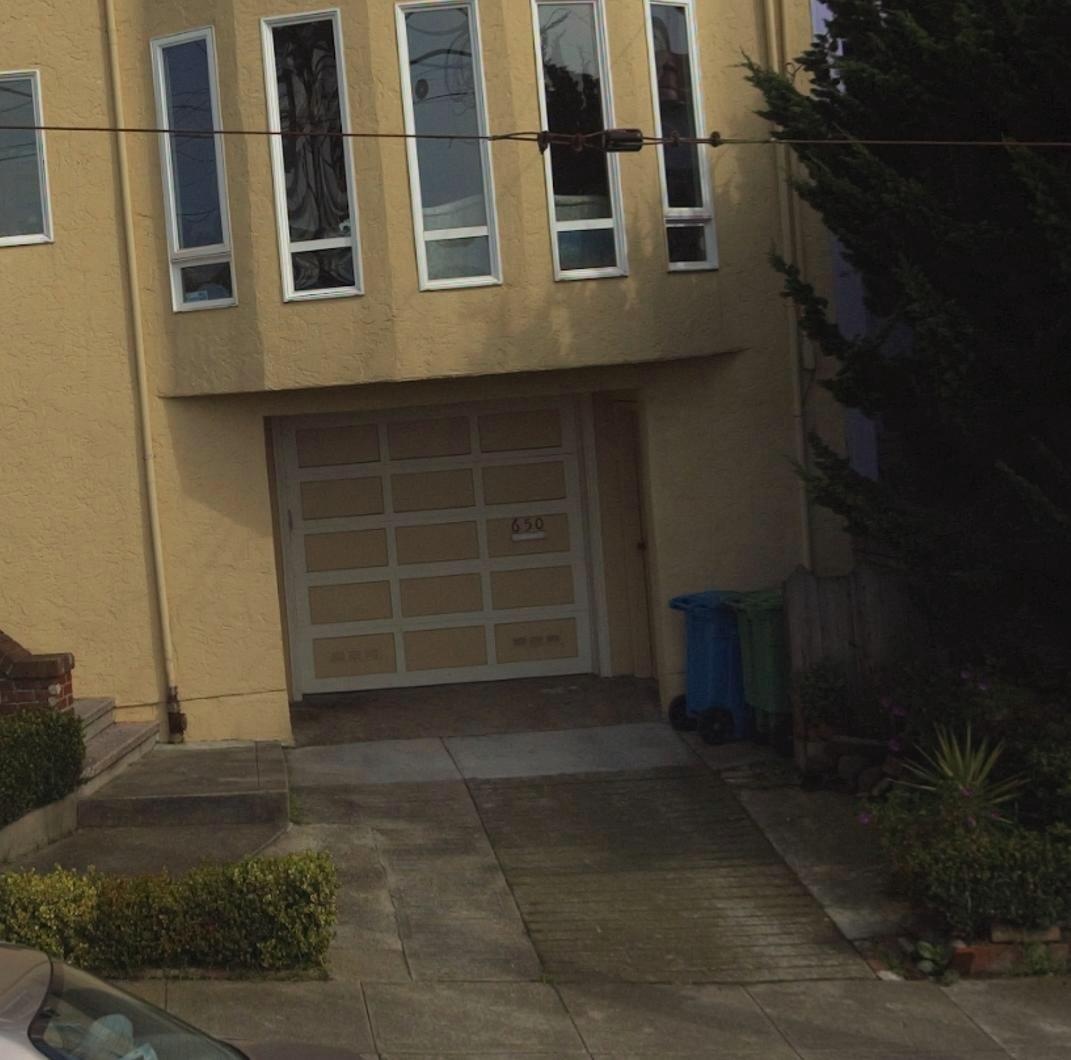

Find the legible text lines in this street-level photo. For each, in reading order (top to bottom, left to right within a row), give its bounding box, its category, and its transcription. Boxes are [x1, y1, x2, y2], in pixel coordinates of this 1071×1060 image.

[509, 515, 545, 534] StreetNumber: 650